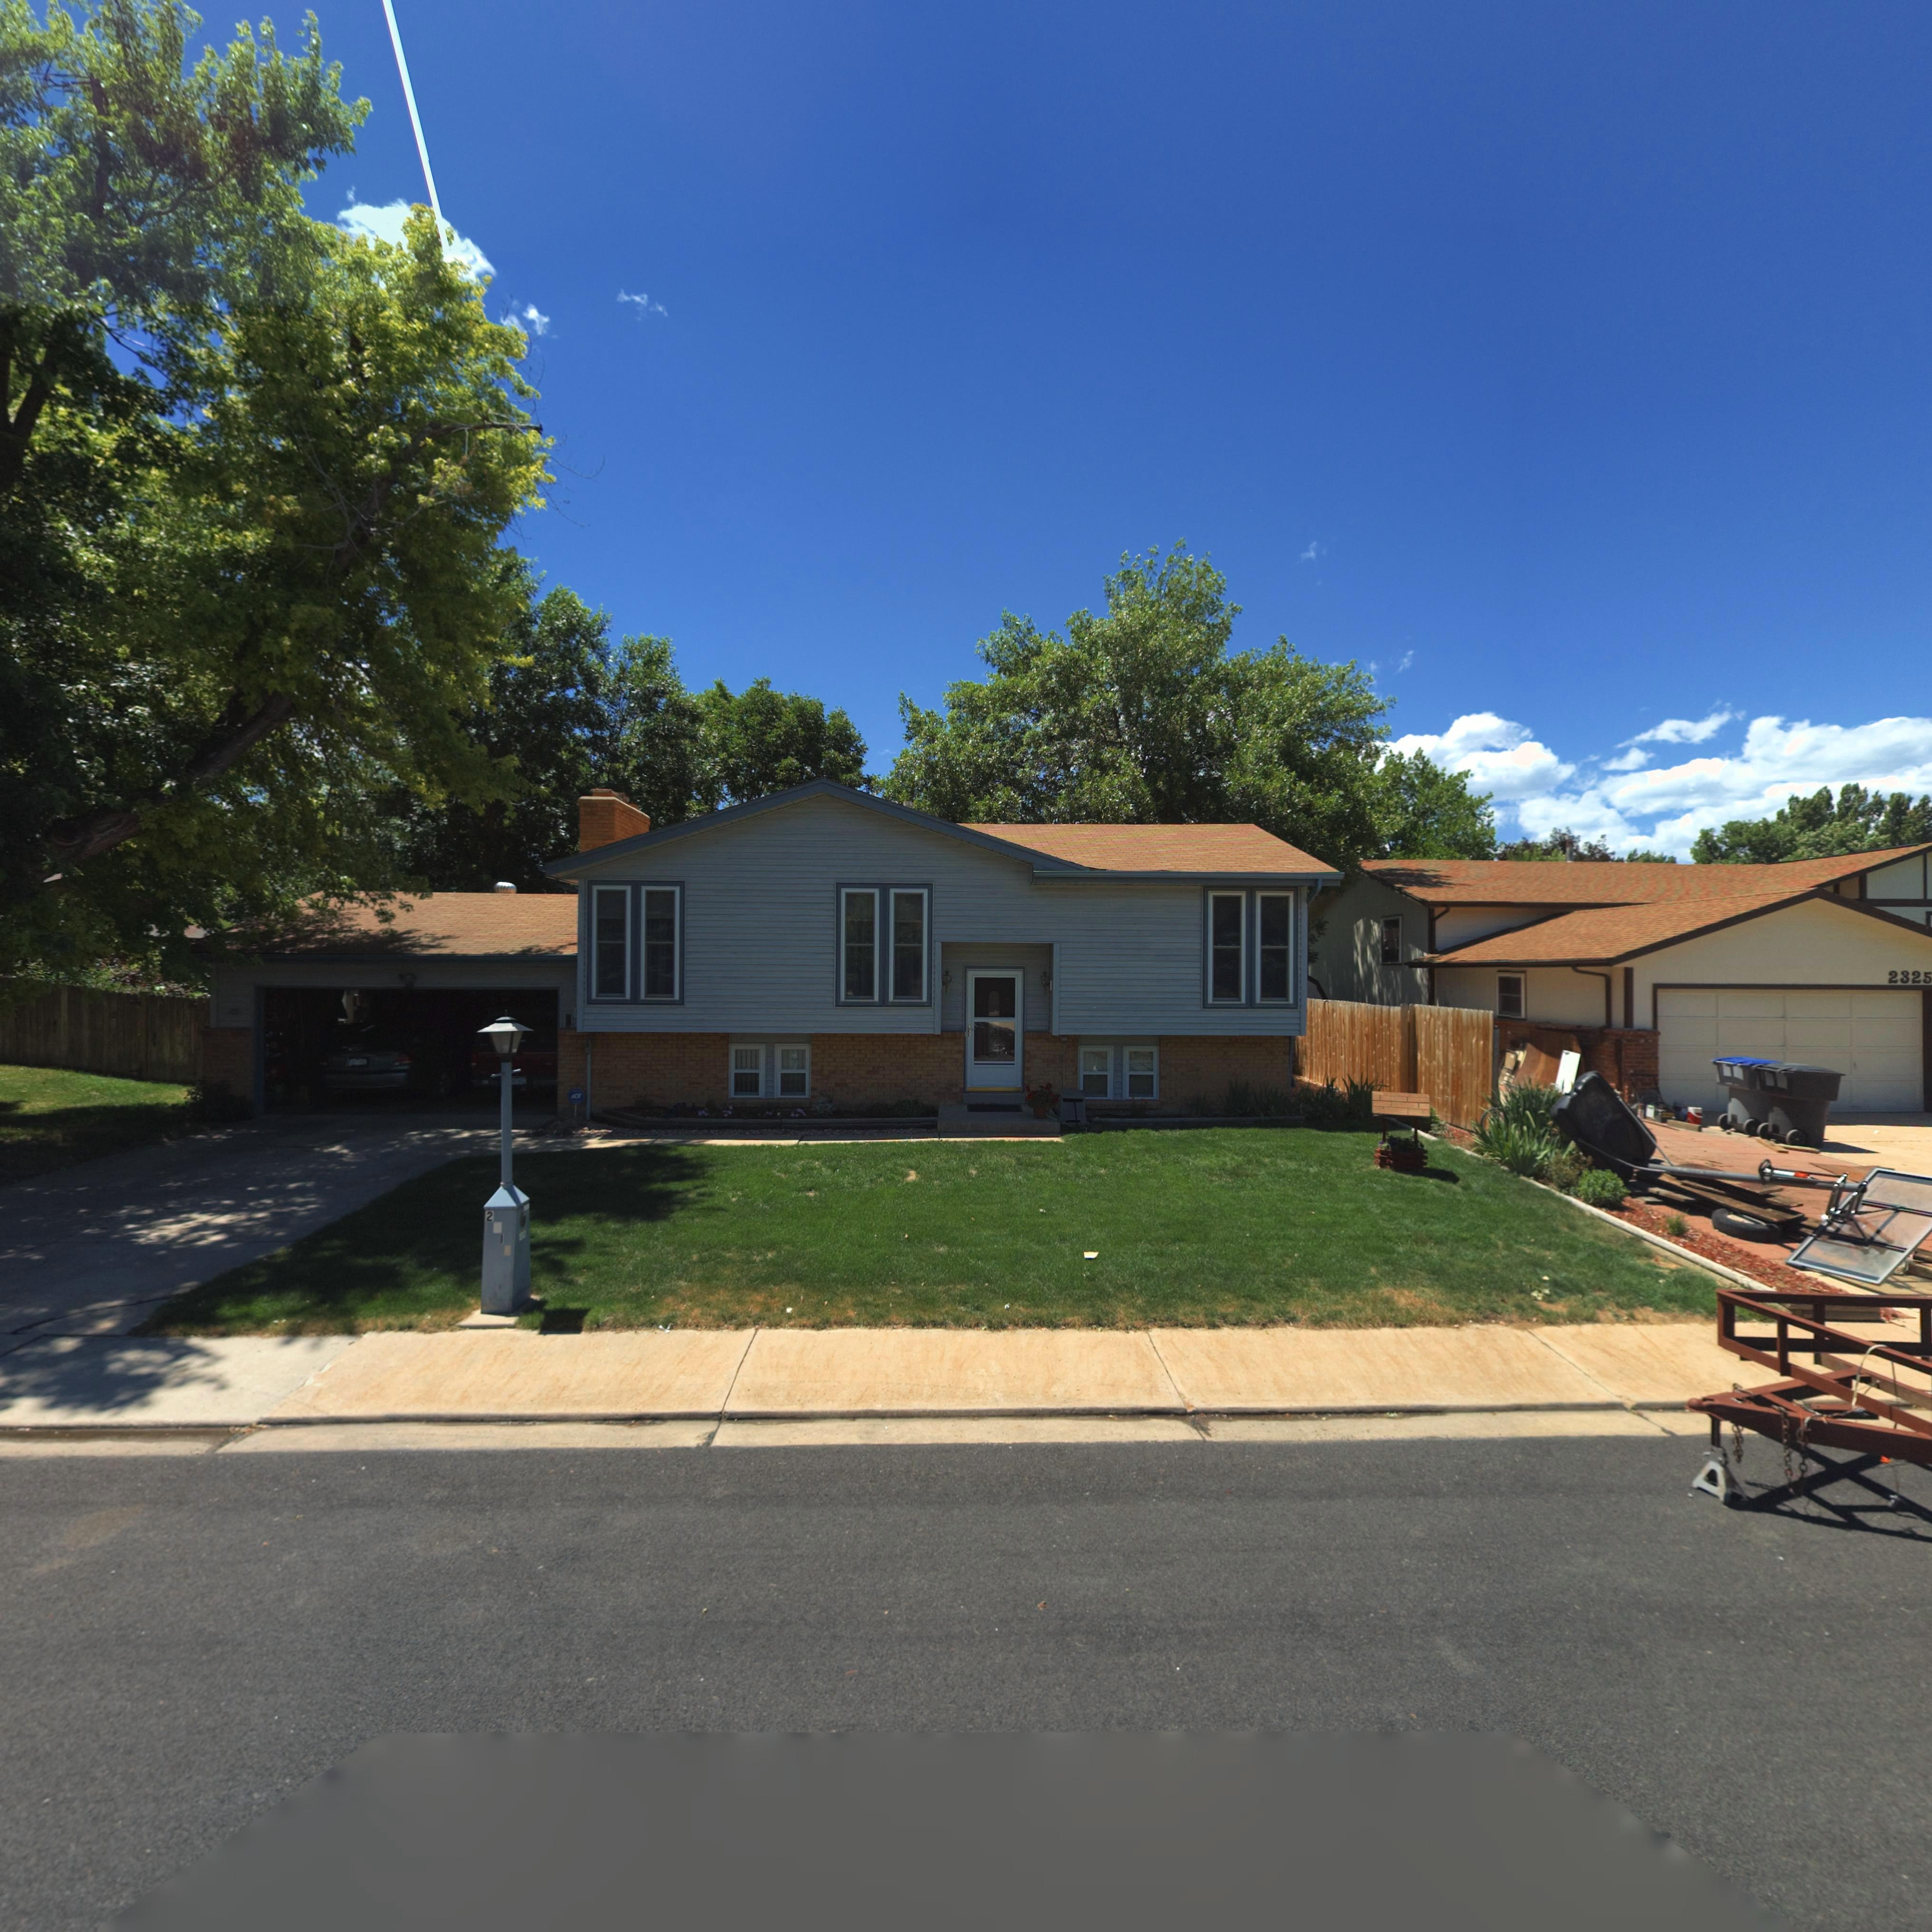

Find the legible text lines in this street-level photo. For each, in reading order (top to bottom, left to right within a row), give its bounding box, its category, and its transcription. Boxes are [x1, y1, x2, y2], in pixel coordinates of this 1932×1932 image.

[1888, 969, 1922, 984] StreetNumber: 232